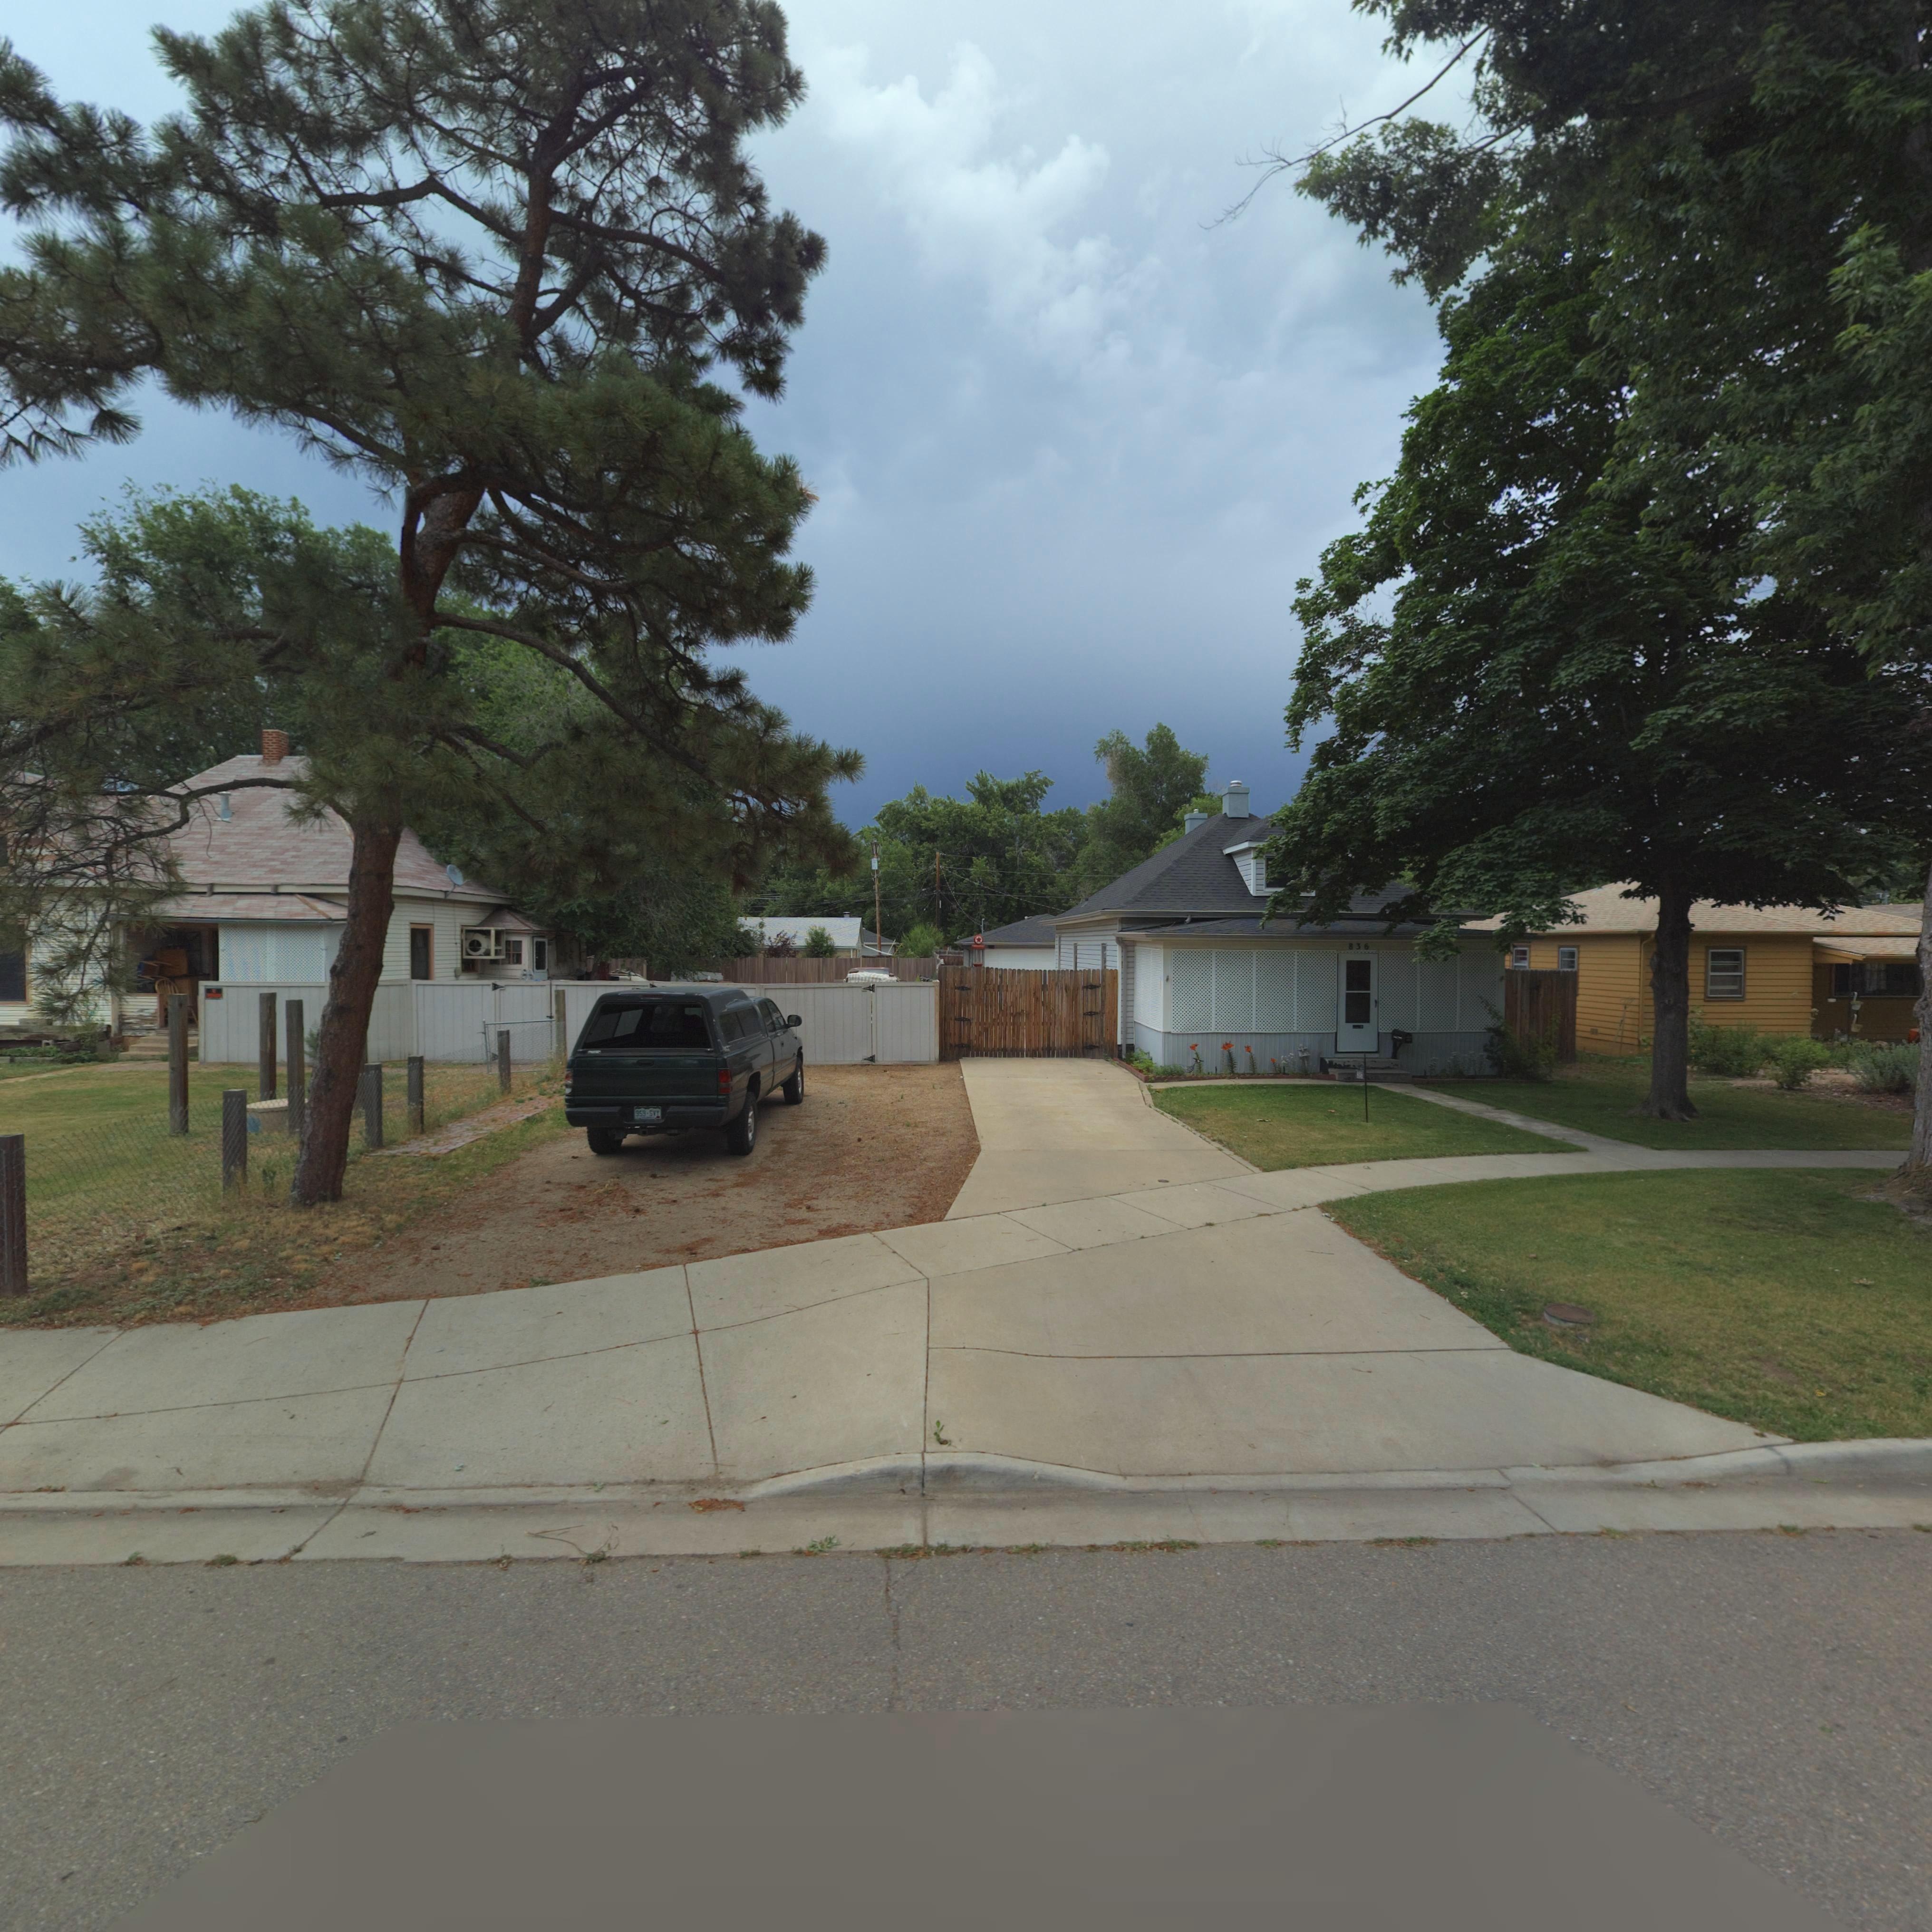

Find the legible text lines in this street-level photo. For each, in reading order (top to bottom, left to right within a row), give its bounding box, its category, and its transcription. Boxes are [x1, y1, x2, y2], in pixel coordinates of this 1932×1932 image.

[1348, 942, 1370, 950] StreetNumber: 836